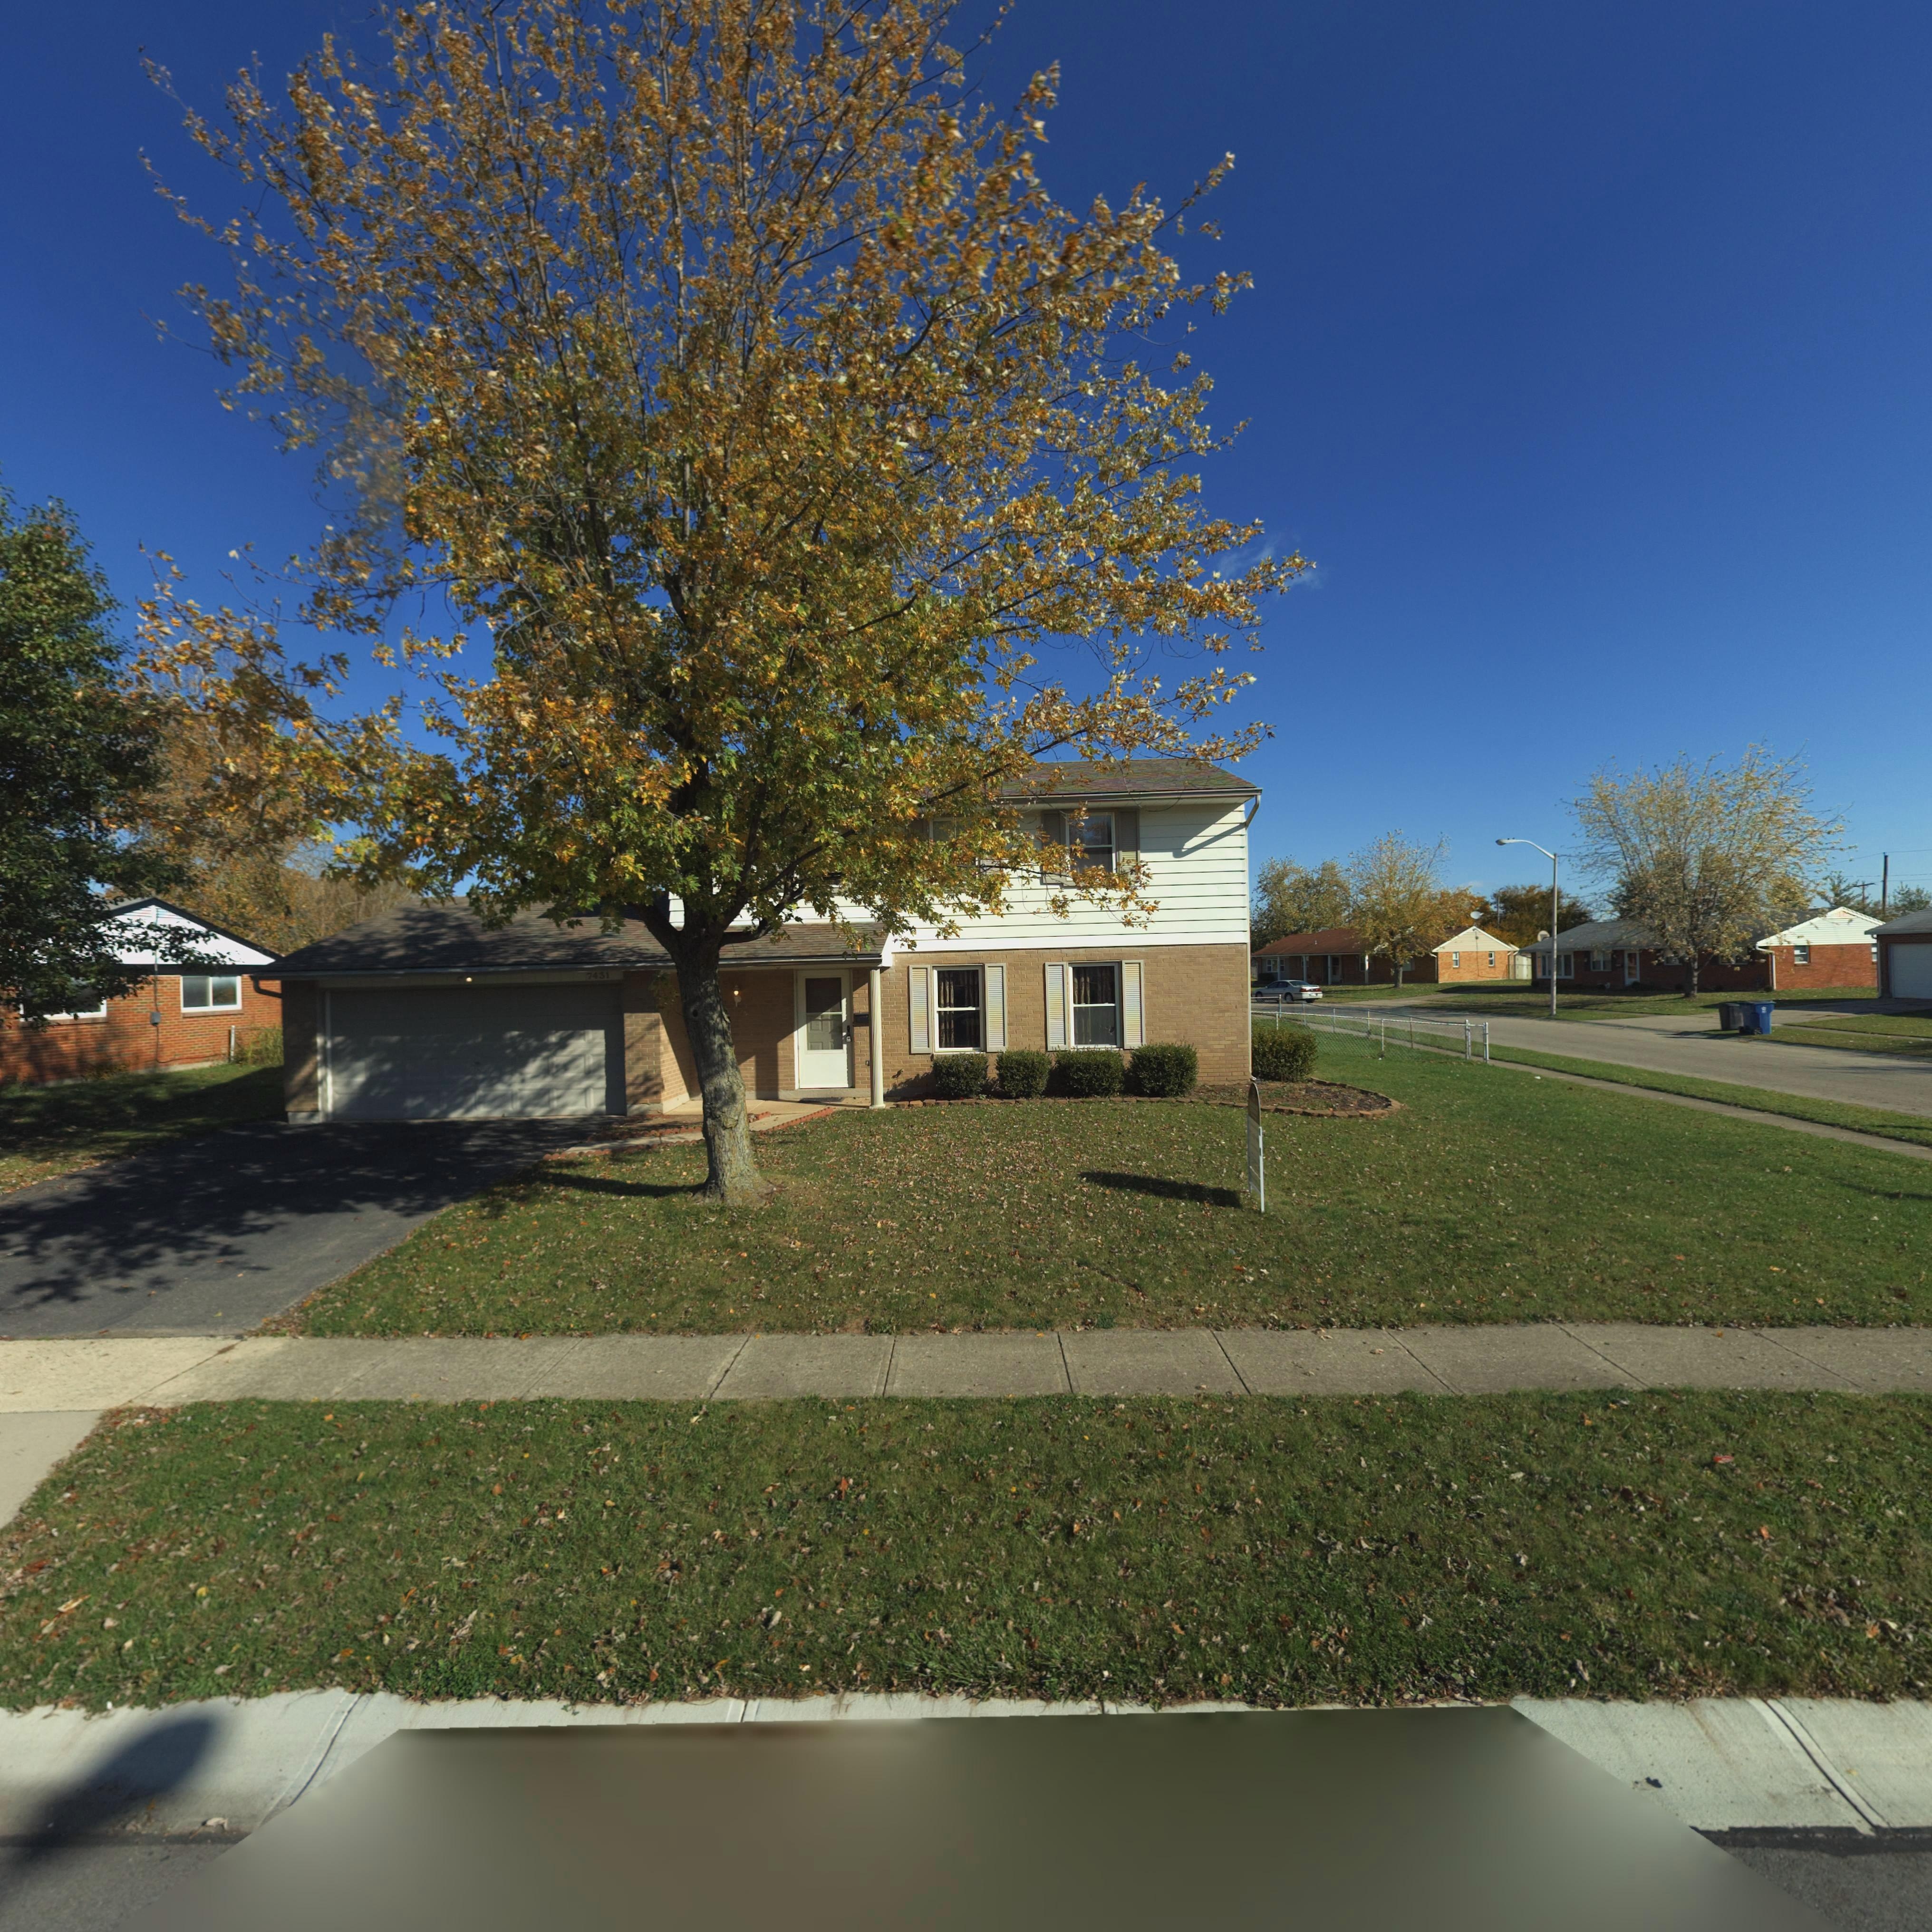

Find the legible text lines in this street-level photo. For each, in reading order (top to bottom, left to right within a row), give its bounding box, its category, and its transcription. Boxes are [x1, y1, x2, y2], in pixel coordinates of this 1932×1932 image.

[586, 971, 611, 981] StreetNumber: 7431